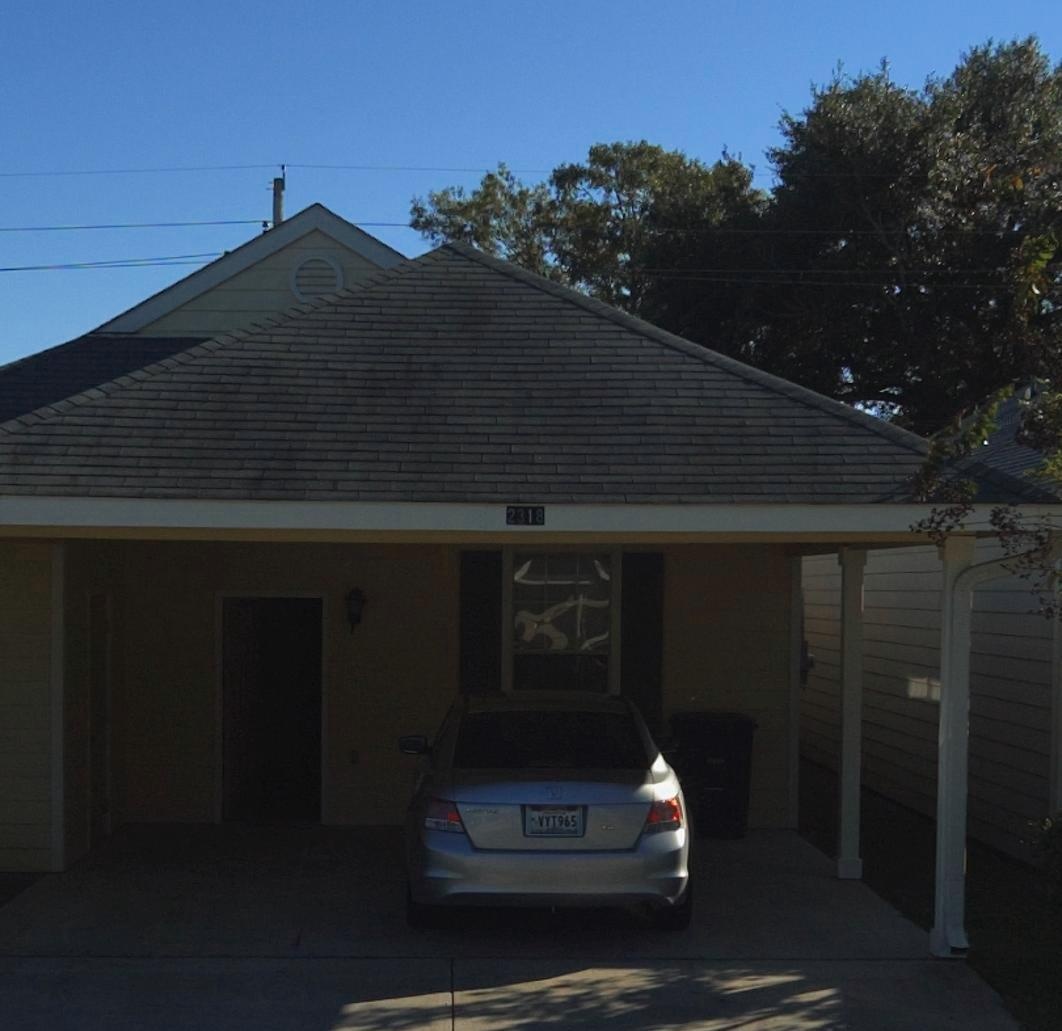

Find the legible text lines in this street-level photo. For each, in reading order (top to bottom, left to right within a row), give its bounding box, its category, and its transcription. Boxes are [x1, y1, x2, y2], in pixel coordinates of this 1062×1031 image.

[507, 507, 544, 525] StreetNumber: 2318
[535, 814, 578, 828] None: VYT965